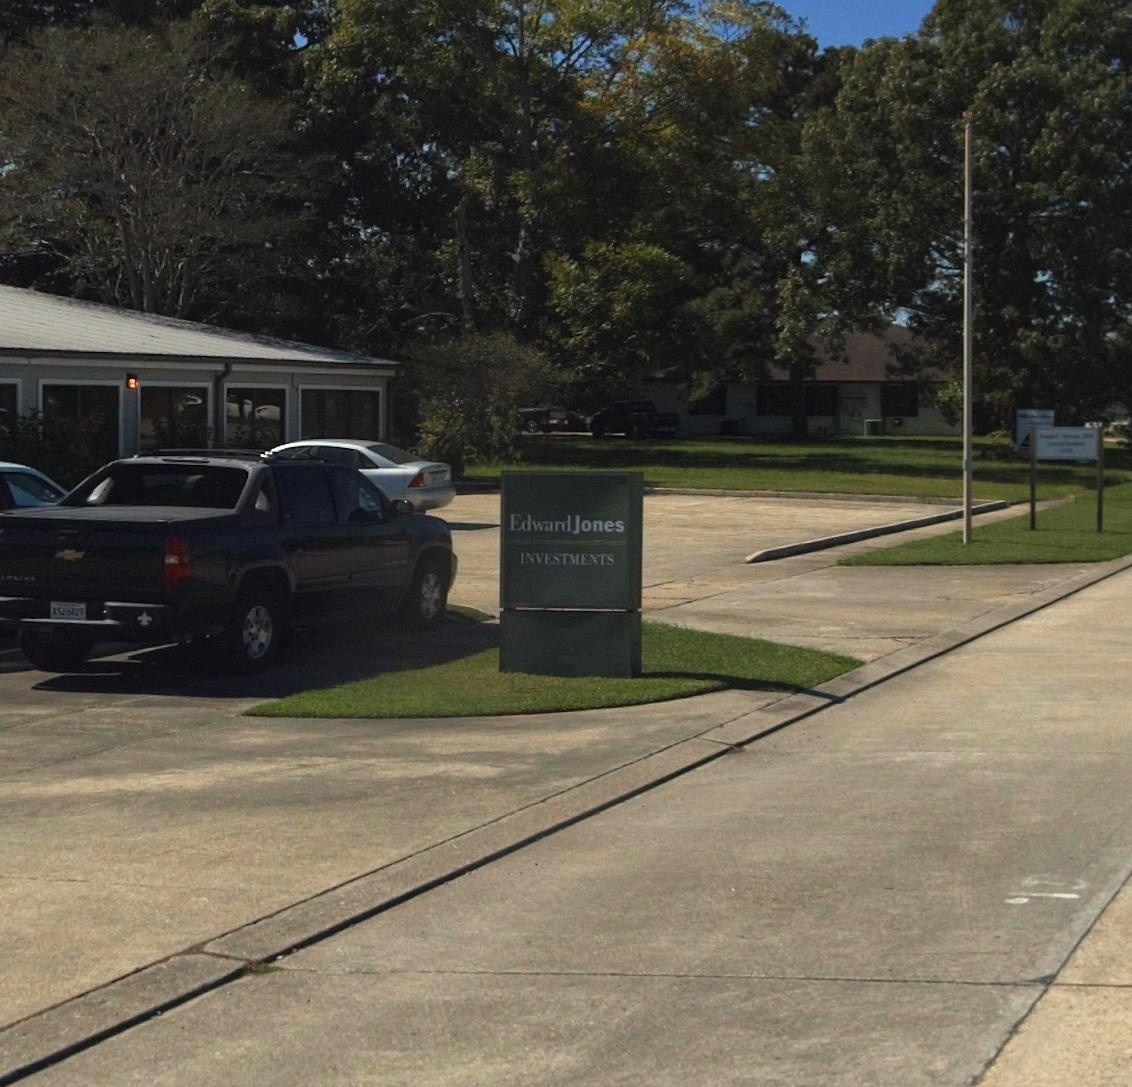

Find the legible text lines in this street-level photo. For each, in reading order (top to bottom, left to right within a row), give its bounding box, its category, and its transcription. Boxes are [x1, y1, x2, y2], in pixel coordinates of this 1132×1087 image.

[507, 511, 627, 537] BusinessName: Edward Jones
[518, 550, 619, 569] BusinessName: INVESTMENTS